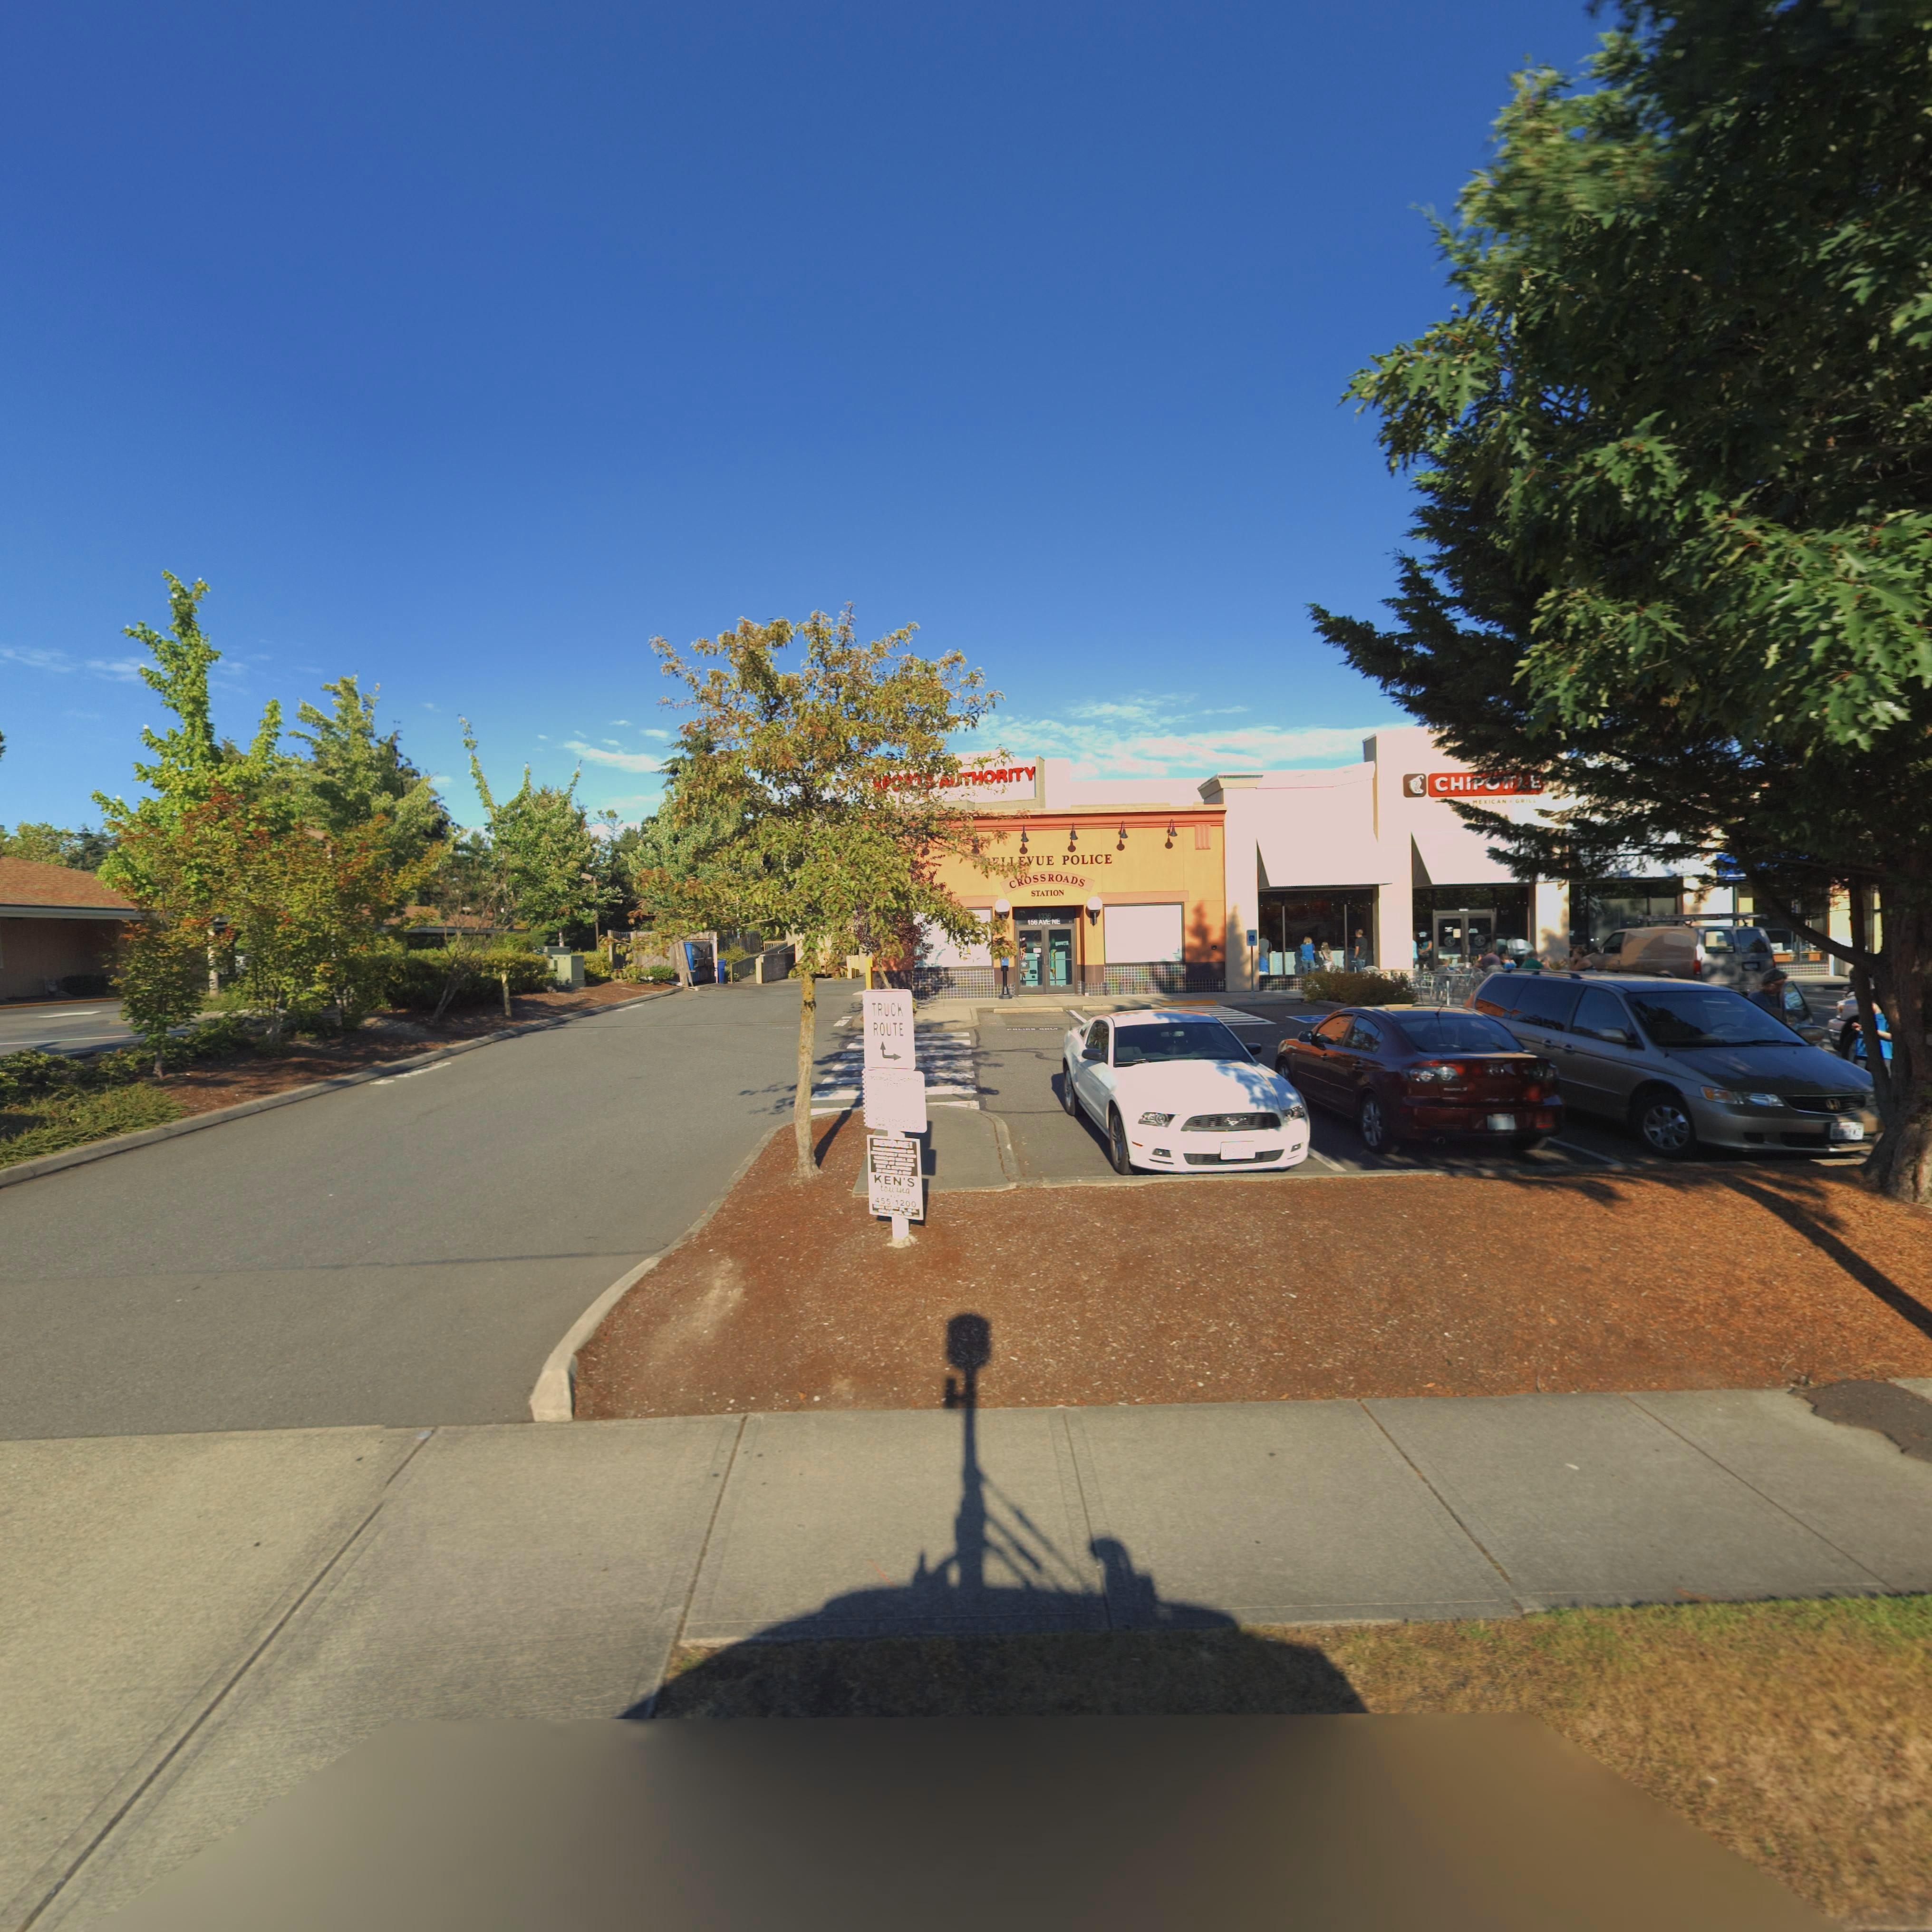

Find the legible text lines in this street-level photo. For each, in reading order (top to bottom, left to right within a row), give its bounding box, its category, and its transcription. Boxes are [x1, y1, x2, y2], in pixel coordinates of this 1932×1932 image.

[872, 764, 1036, 794] BusinessName: *P*** **THORITY
[1434, 773, 1542, 792] BusinessName: CHI***E
[1472, 798, 1537, 804] BusinessName: MEXICAN GRILL
[874, 1174, 915, 1187] BusinessName: KEN*S